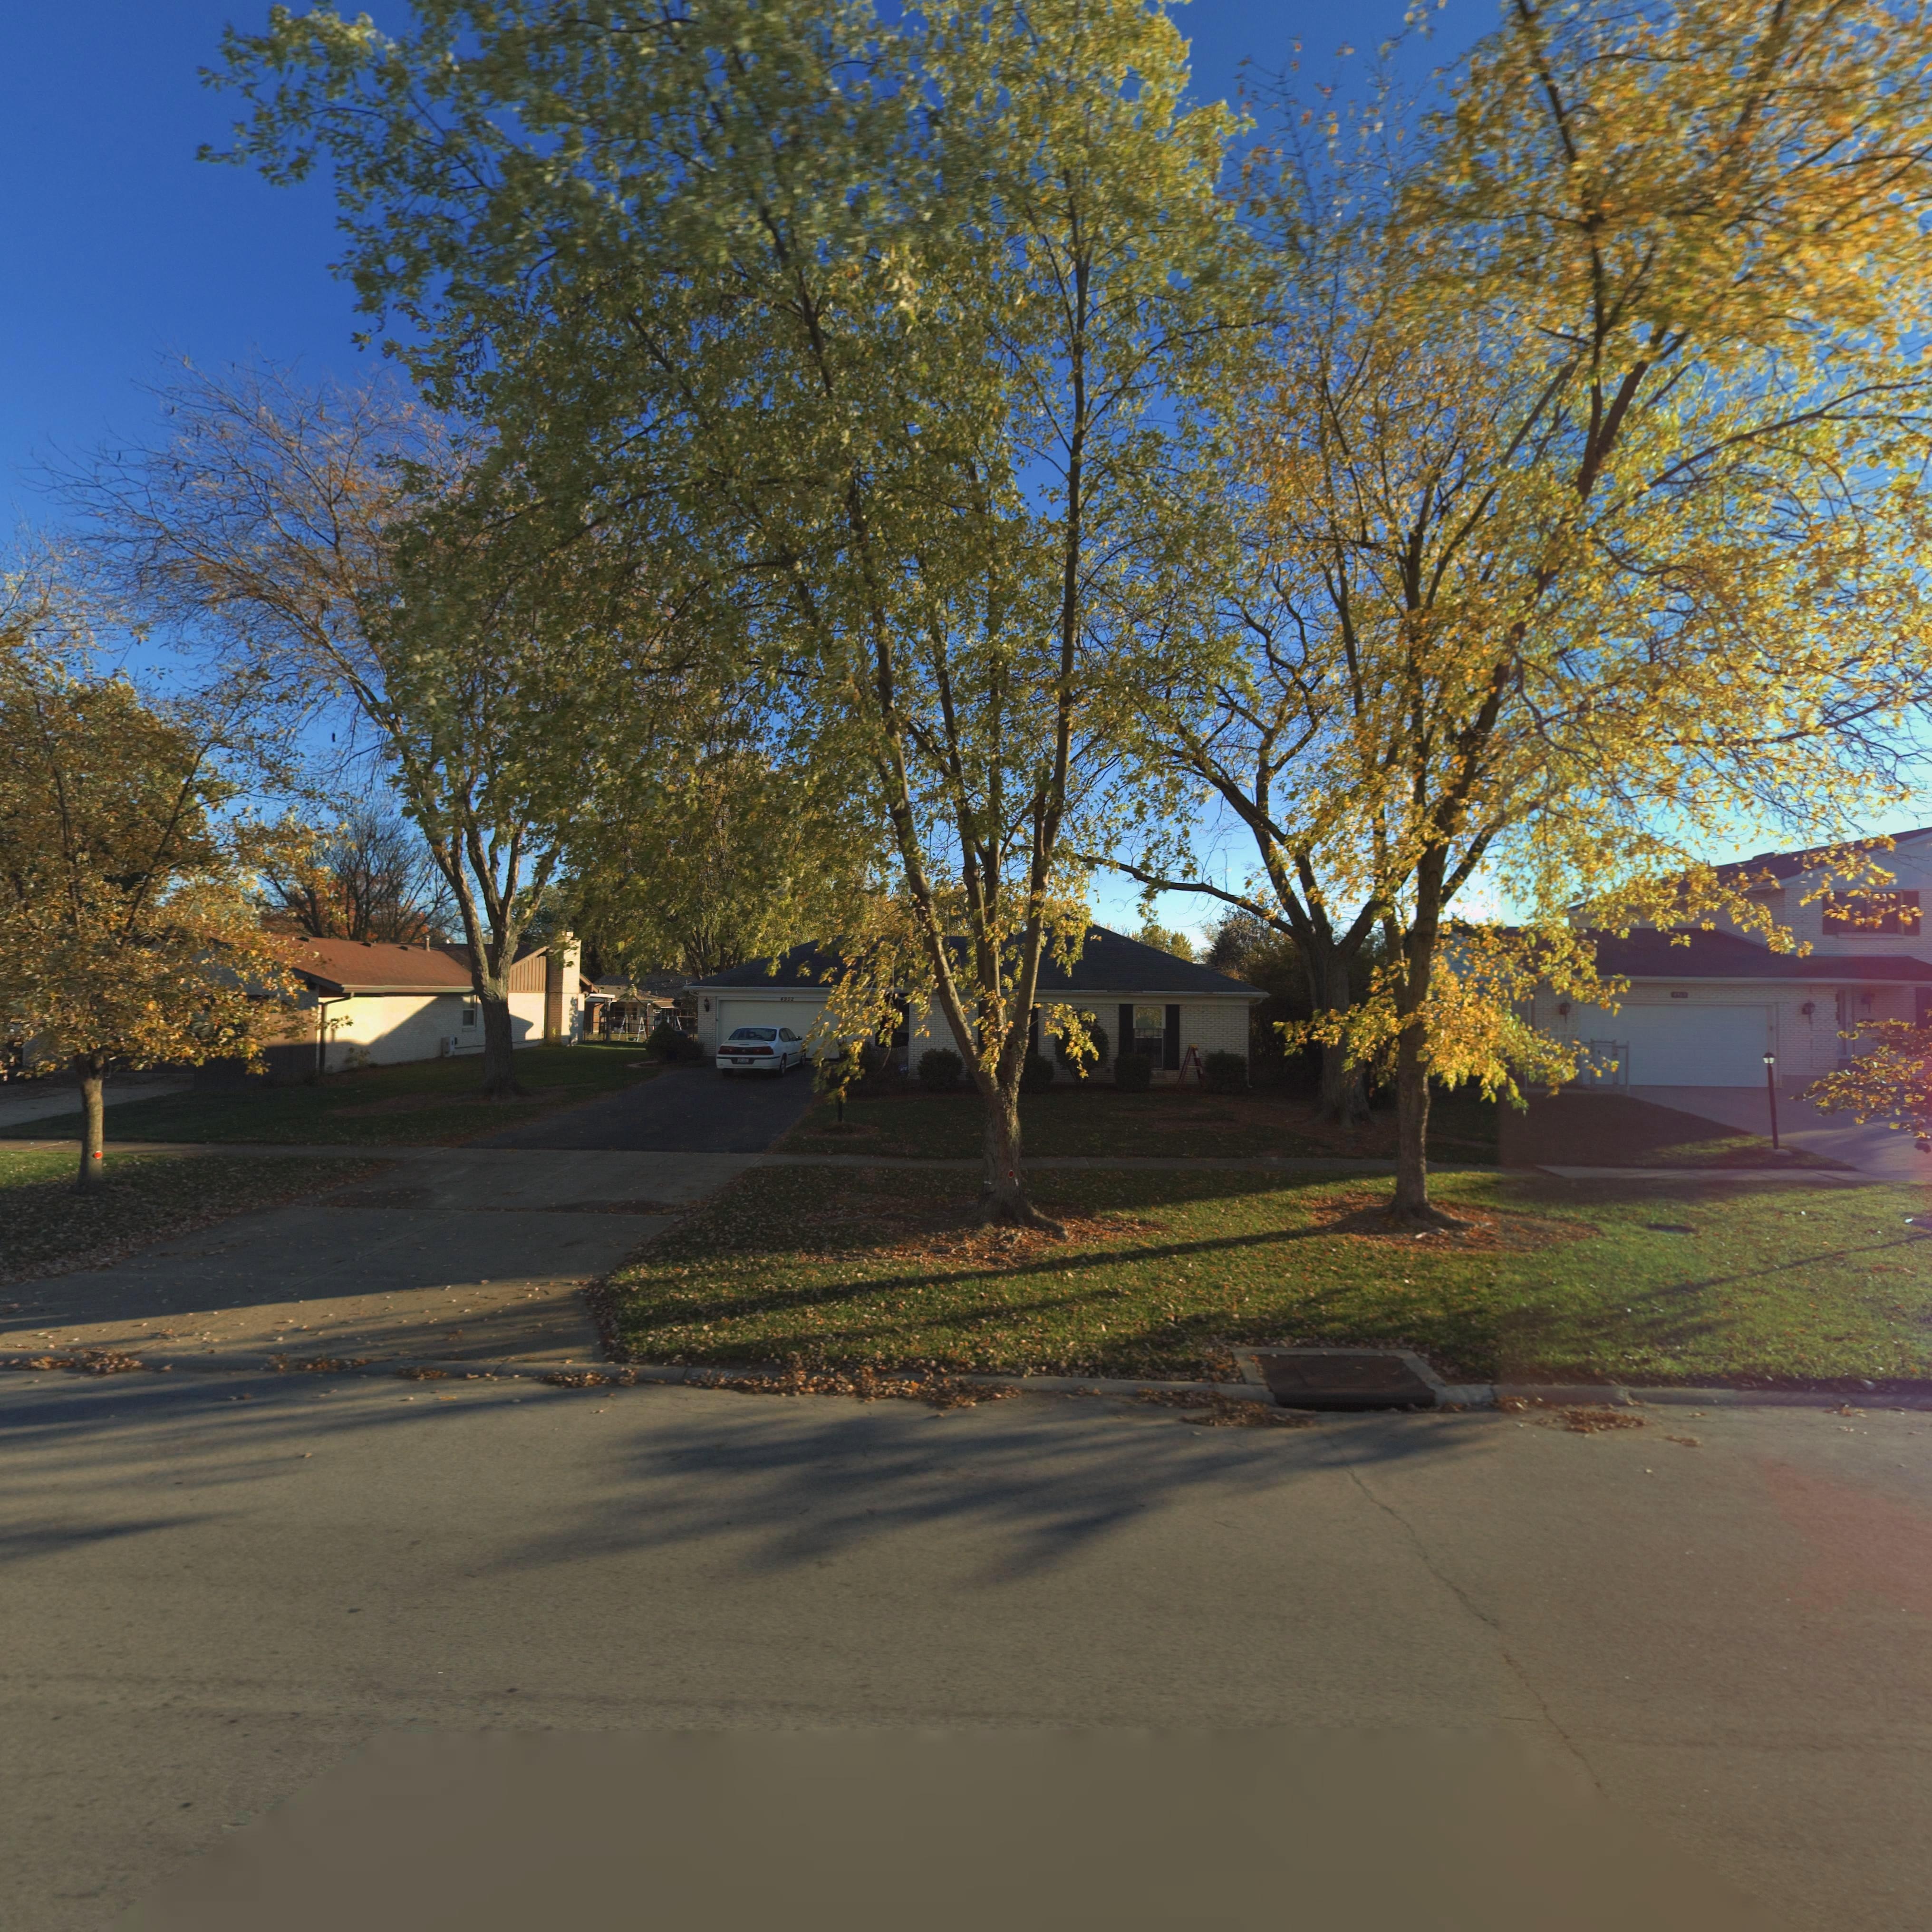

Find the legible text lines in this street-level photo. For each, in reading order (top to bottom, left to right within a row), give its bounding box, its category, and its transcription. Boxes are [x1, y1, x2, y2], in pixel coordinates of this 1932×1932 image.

[1672, 992, 1687, 998] StreetNumber: 49**
[780, 996, 794, 1002] StreetNumber: 4952